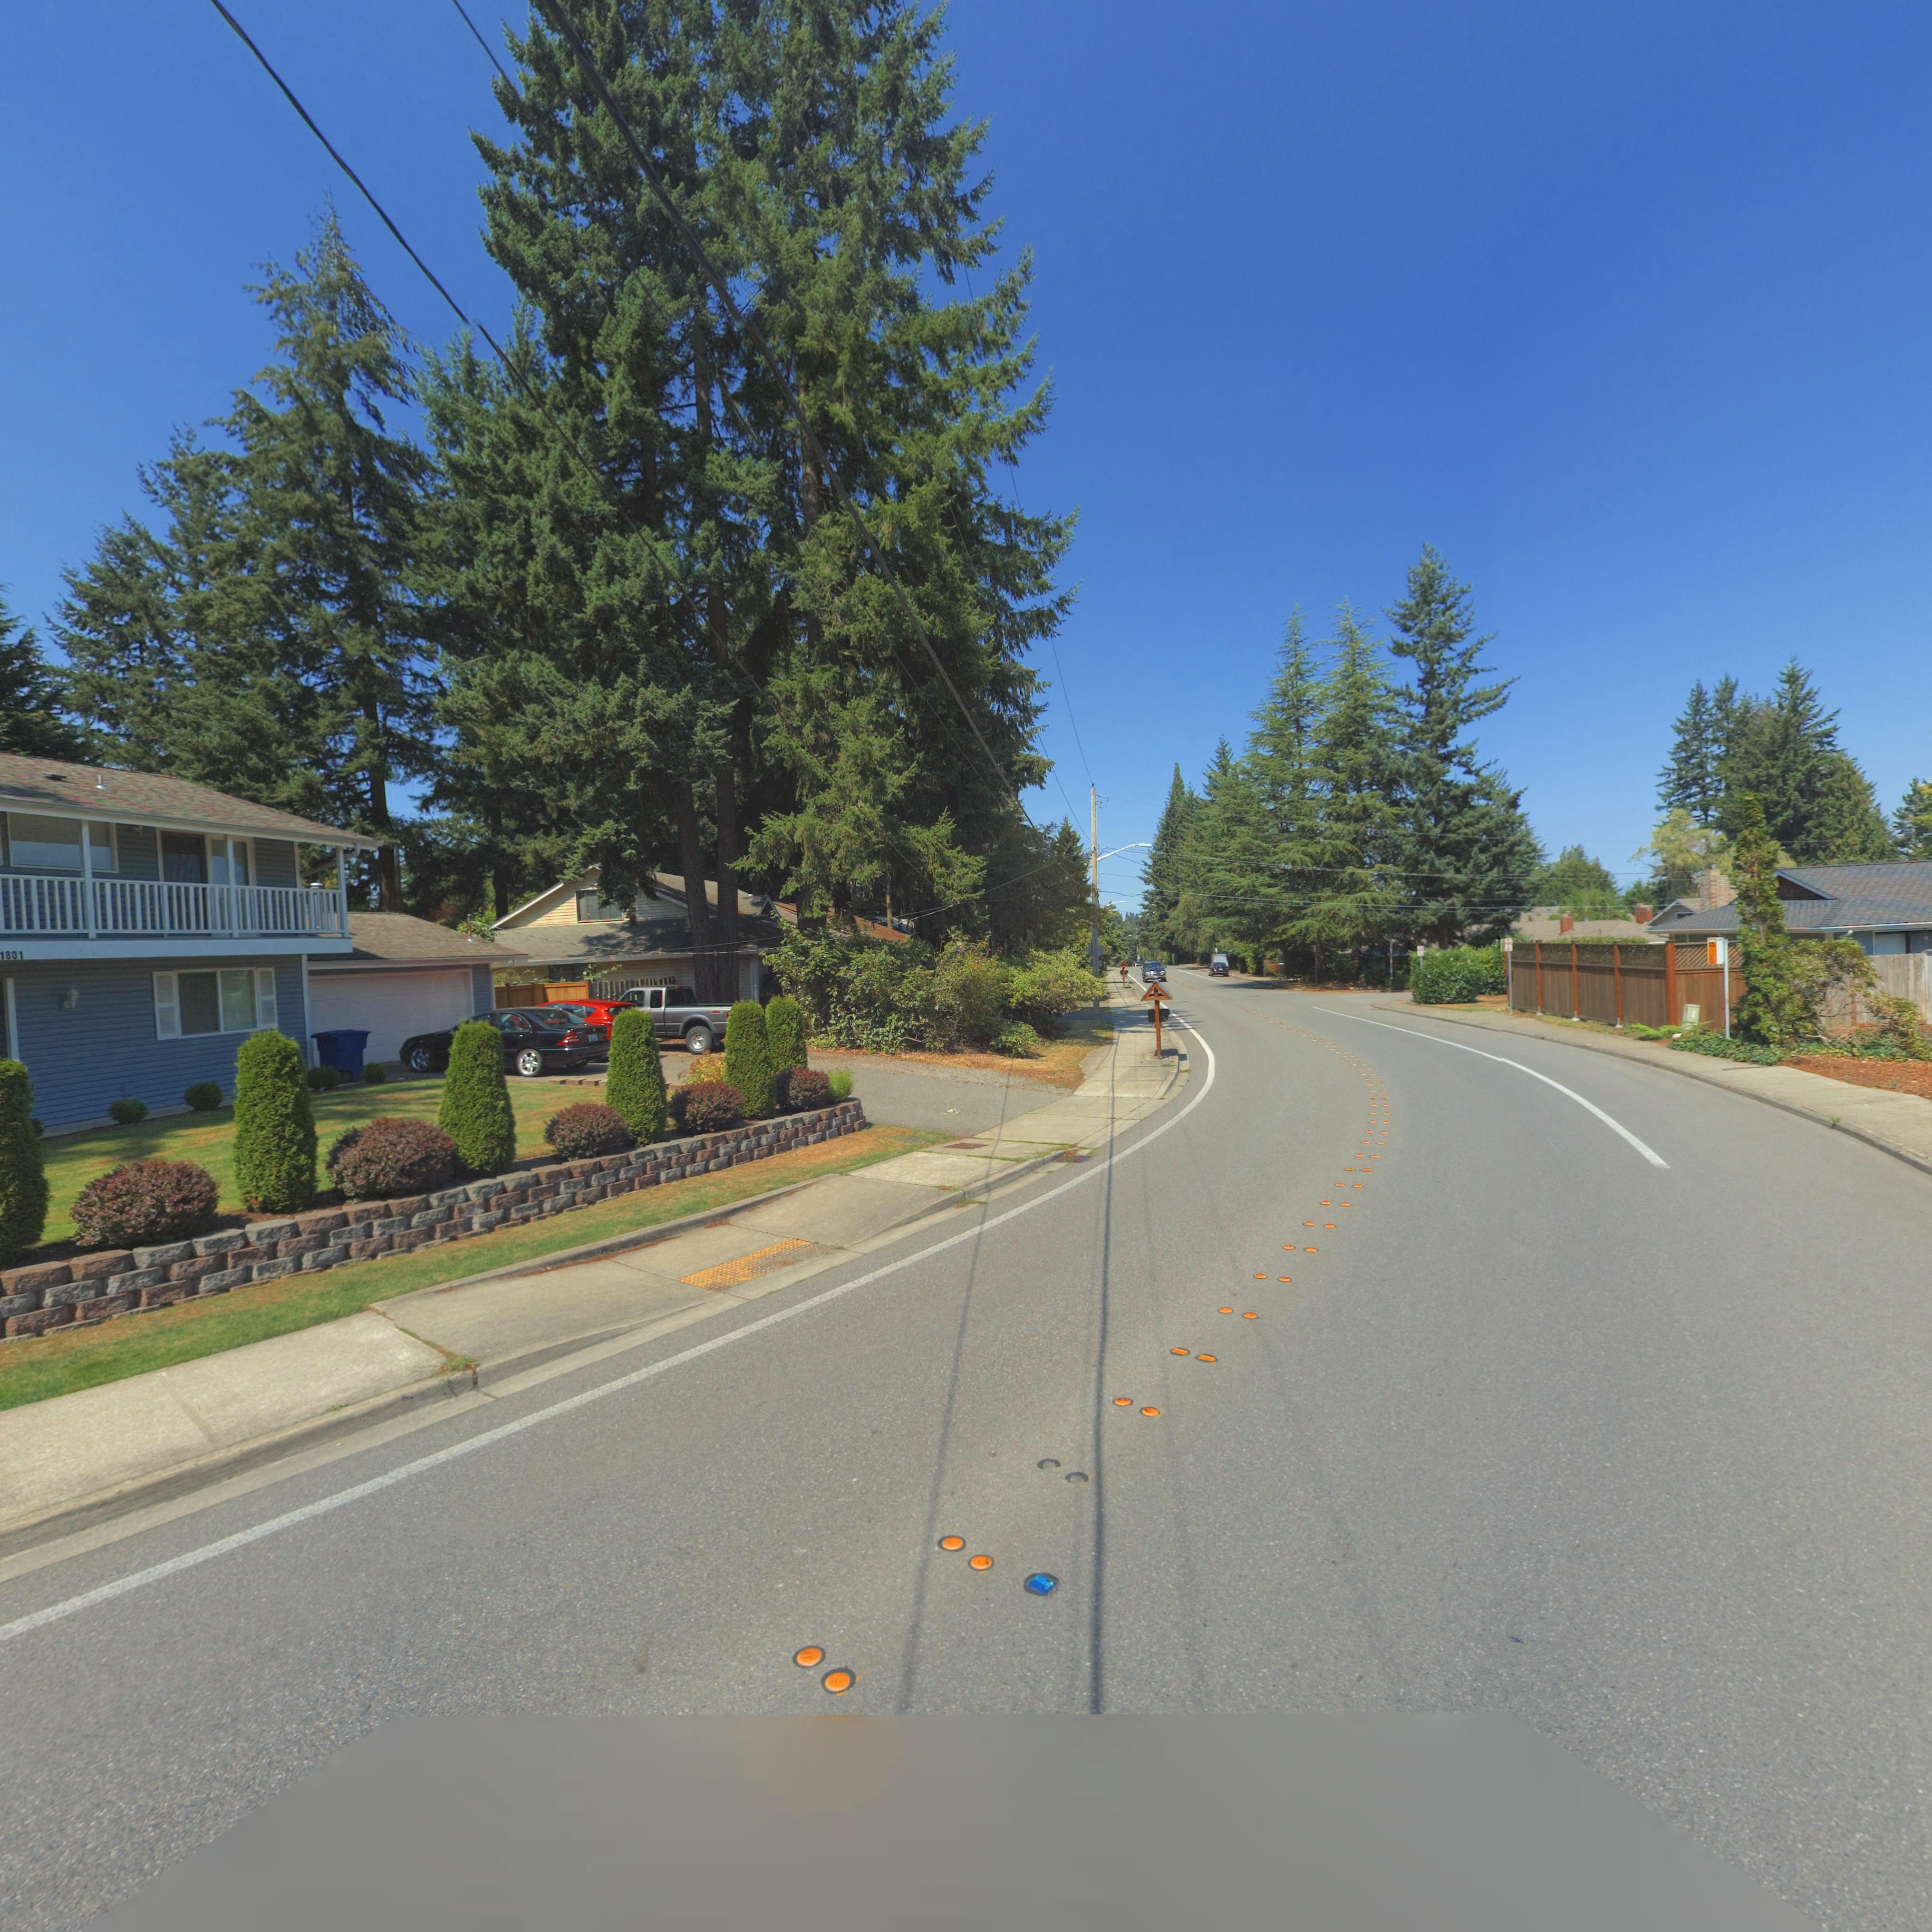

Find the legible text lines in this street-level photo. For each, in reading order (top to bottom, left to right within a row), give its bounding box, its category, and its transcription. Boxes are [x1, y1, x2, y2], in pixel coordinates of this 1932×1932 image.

[2, 949, 23, 960] StreetNumber: *801